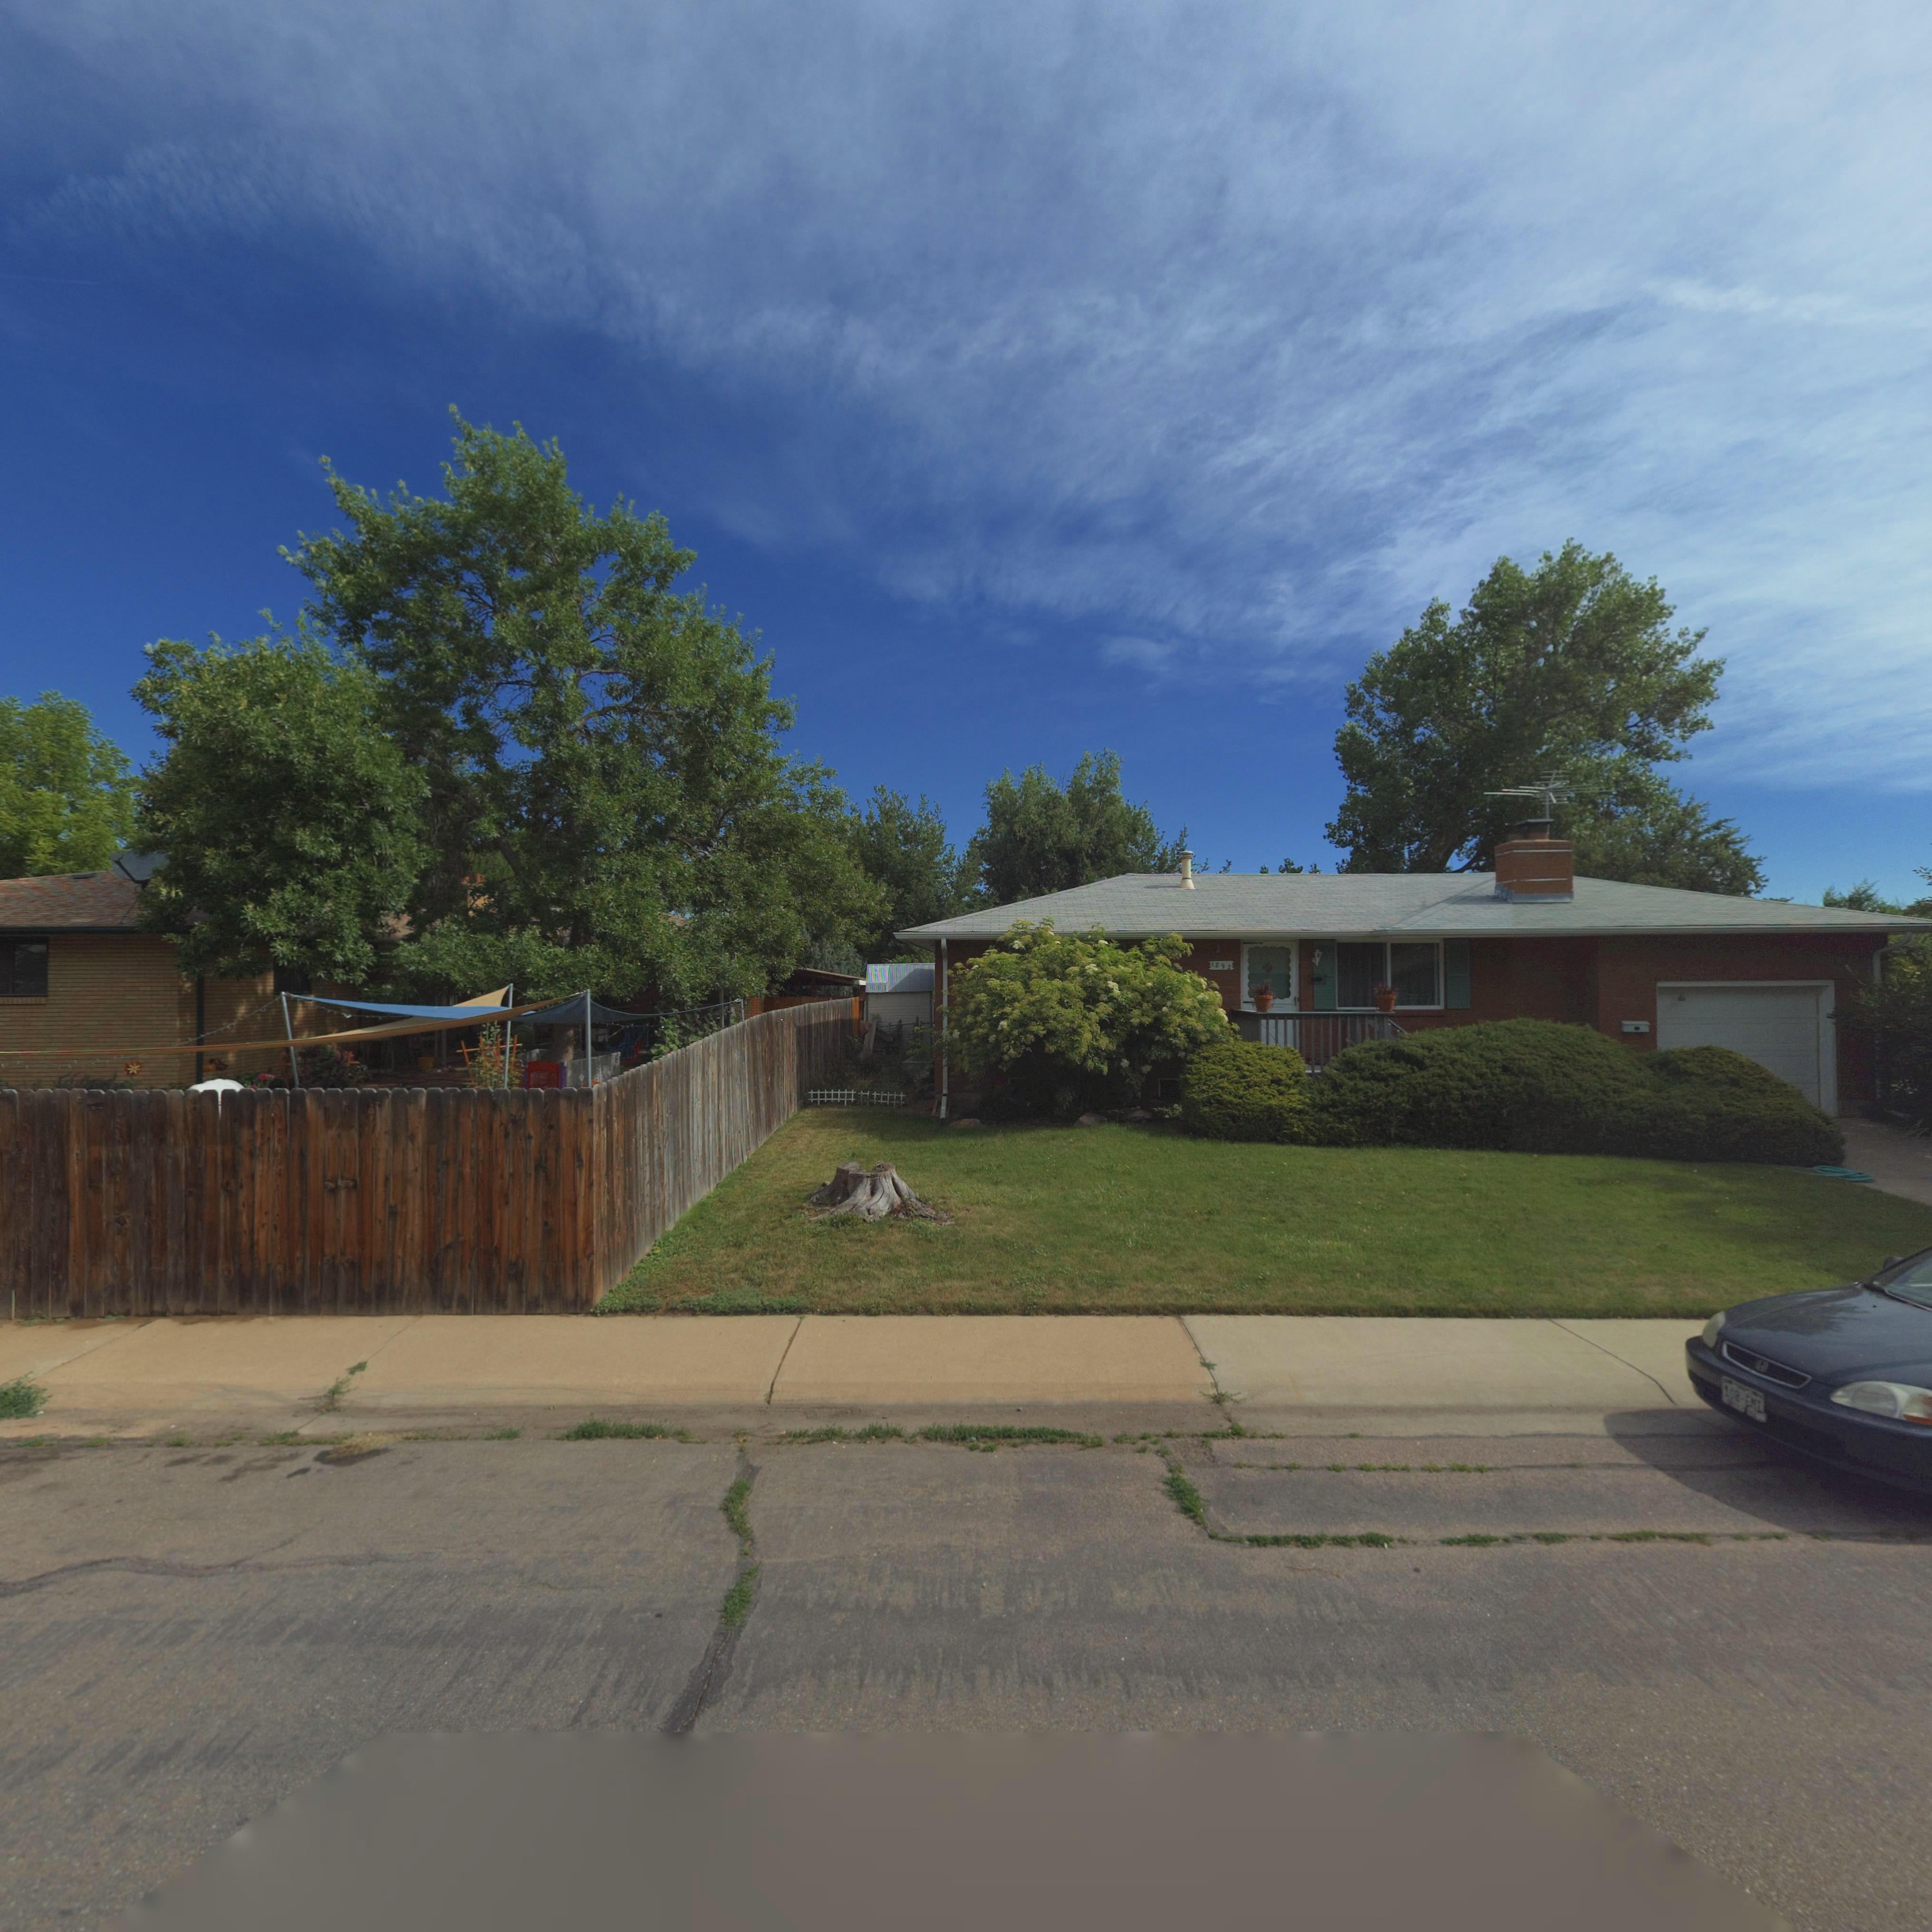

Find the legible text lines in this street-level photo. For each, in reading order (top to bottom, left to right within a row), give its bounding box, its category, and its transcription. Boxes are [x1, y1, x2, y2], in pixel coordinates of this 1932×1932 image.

[1211, 961, 1231, 970] StreetNumber: 1892